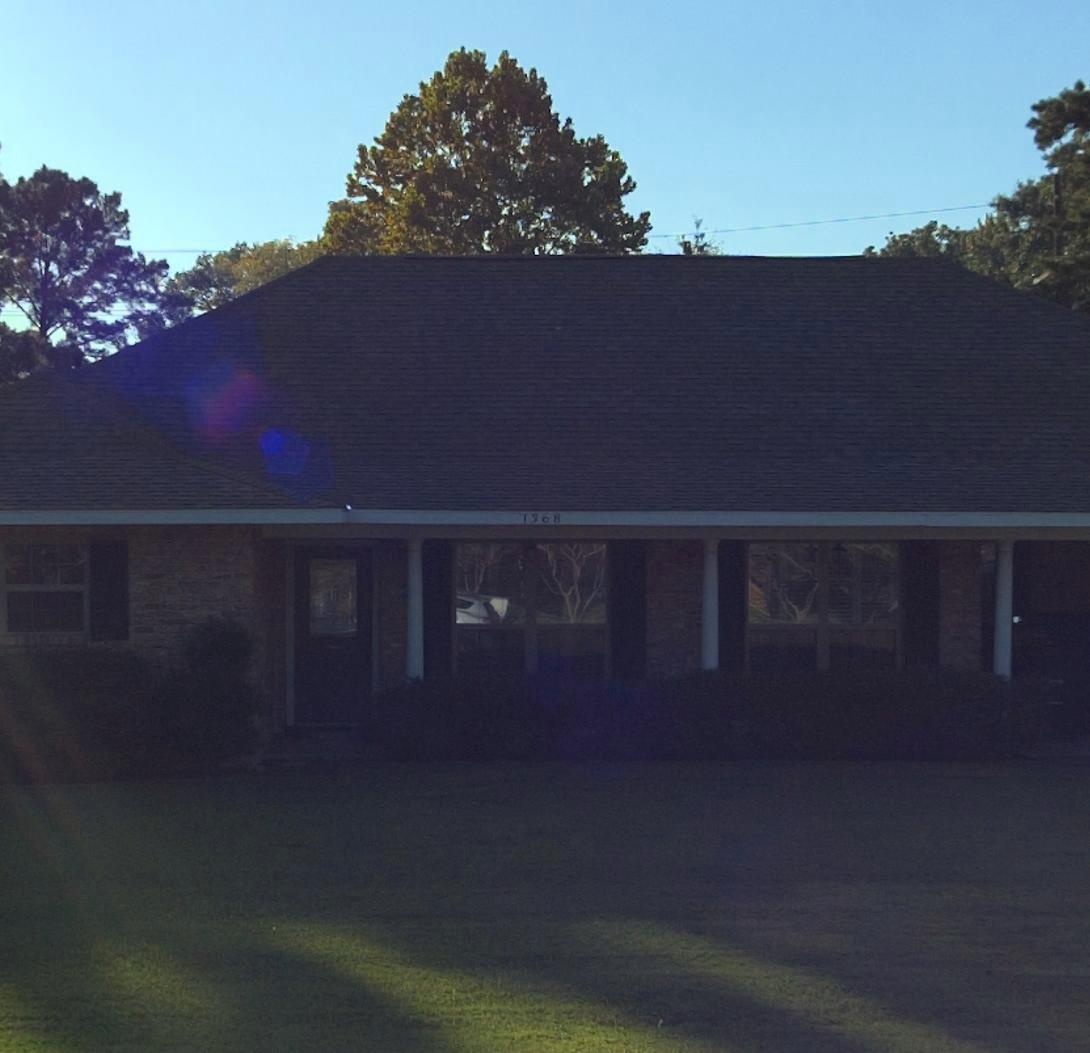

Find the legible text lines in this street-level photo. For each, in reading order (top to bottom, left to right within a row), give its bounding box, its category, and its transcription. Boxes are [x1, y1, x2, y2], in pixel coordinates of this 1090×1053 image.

[523, 512, 561, 524] StreetNumber: 1*68